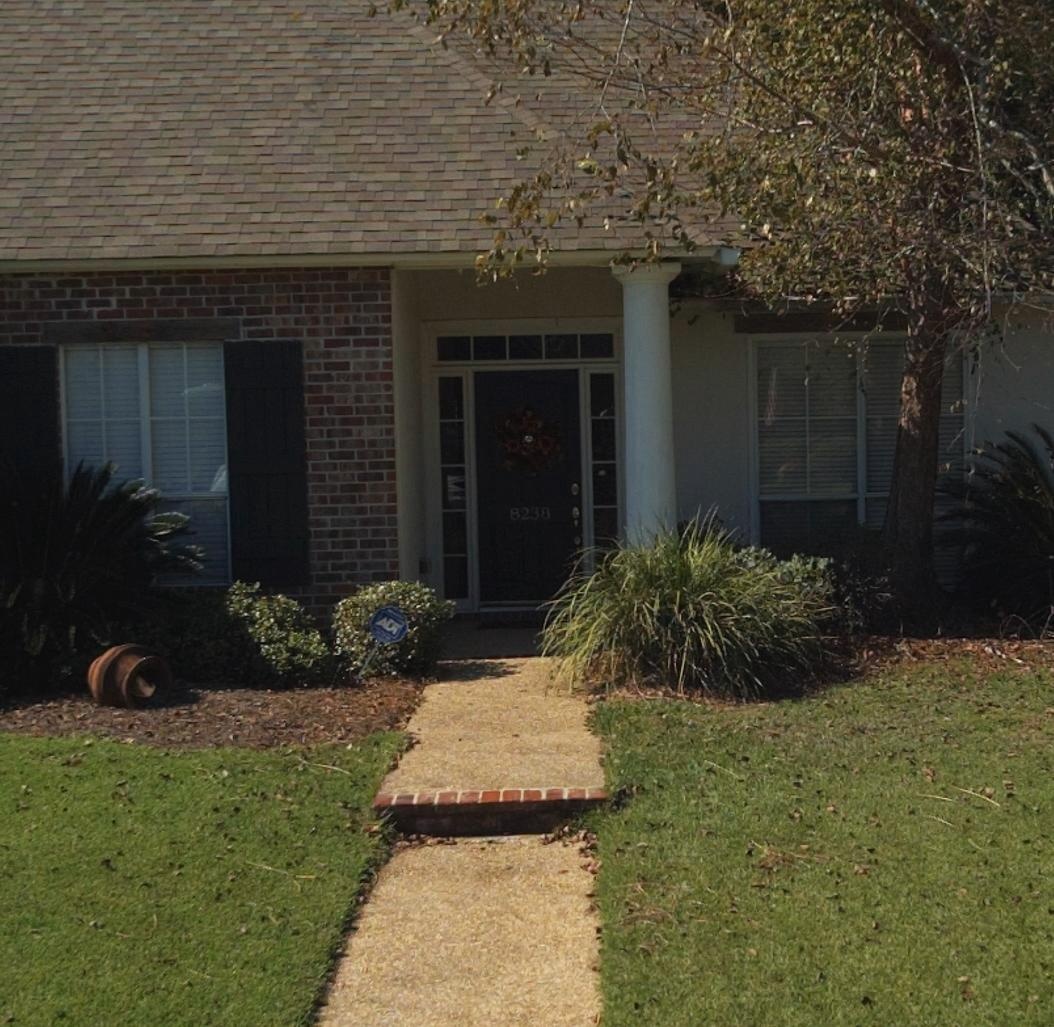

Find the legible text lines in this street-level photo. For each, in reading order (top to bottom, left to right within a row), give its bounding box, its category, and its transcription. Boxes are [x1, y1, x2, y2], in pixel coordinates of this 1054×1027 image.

[508, 506, 551, 521] StreetNumber: 8238
[373, 615, 403, 637] None: ADT